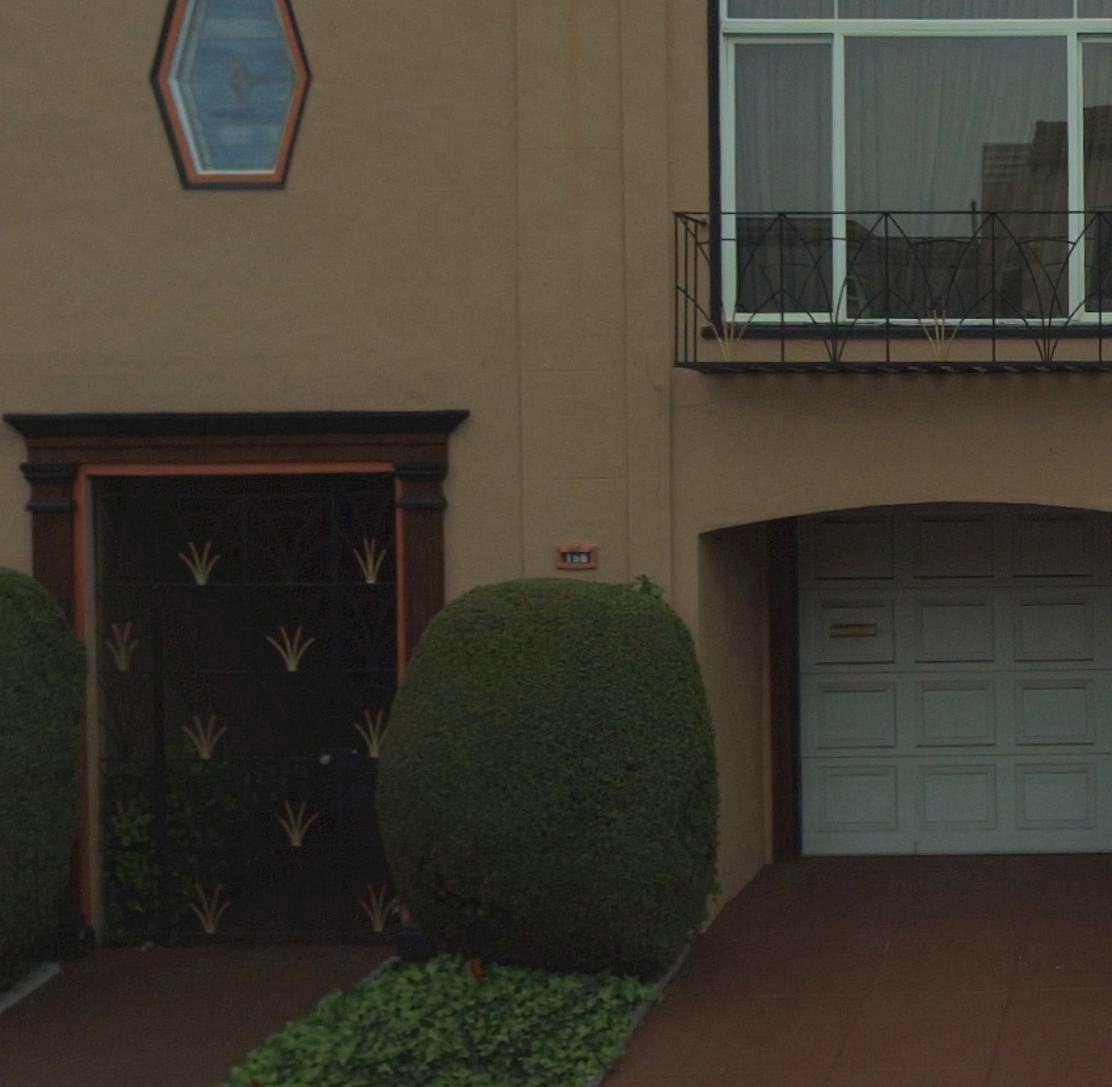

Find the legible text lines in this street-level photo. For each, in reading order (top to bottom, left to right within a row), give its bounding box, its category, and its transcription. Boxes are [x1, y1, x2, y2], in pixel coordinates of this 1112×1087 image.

[565, 552, 589, 564] StreetNumber: 166